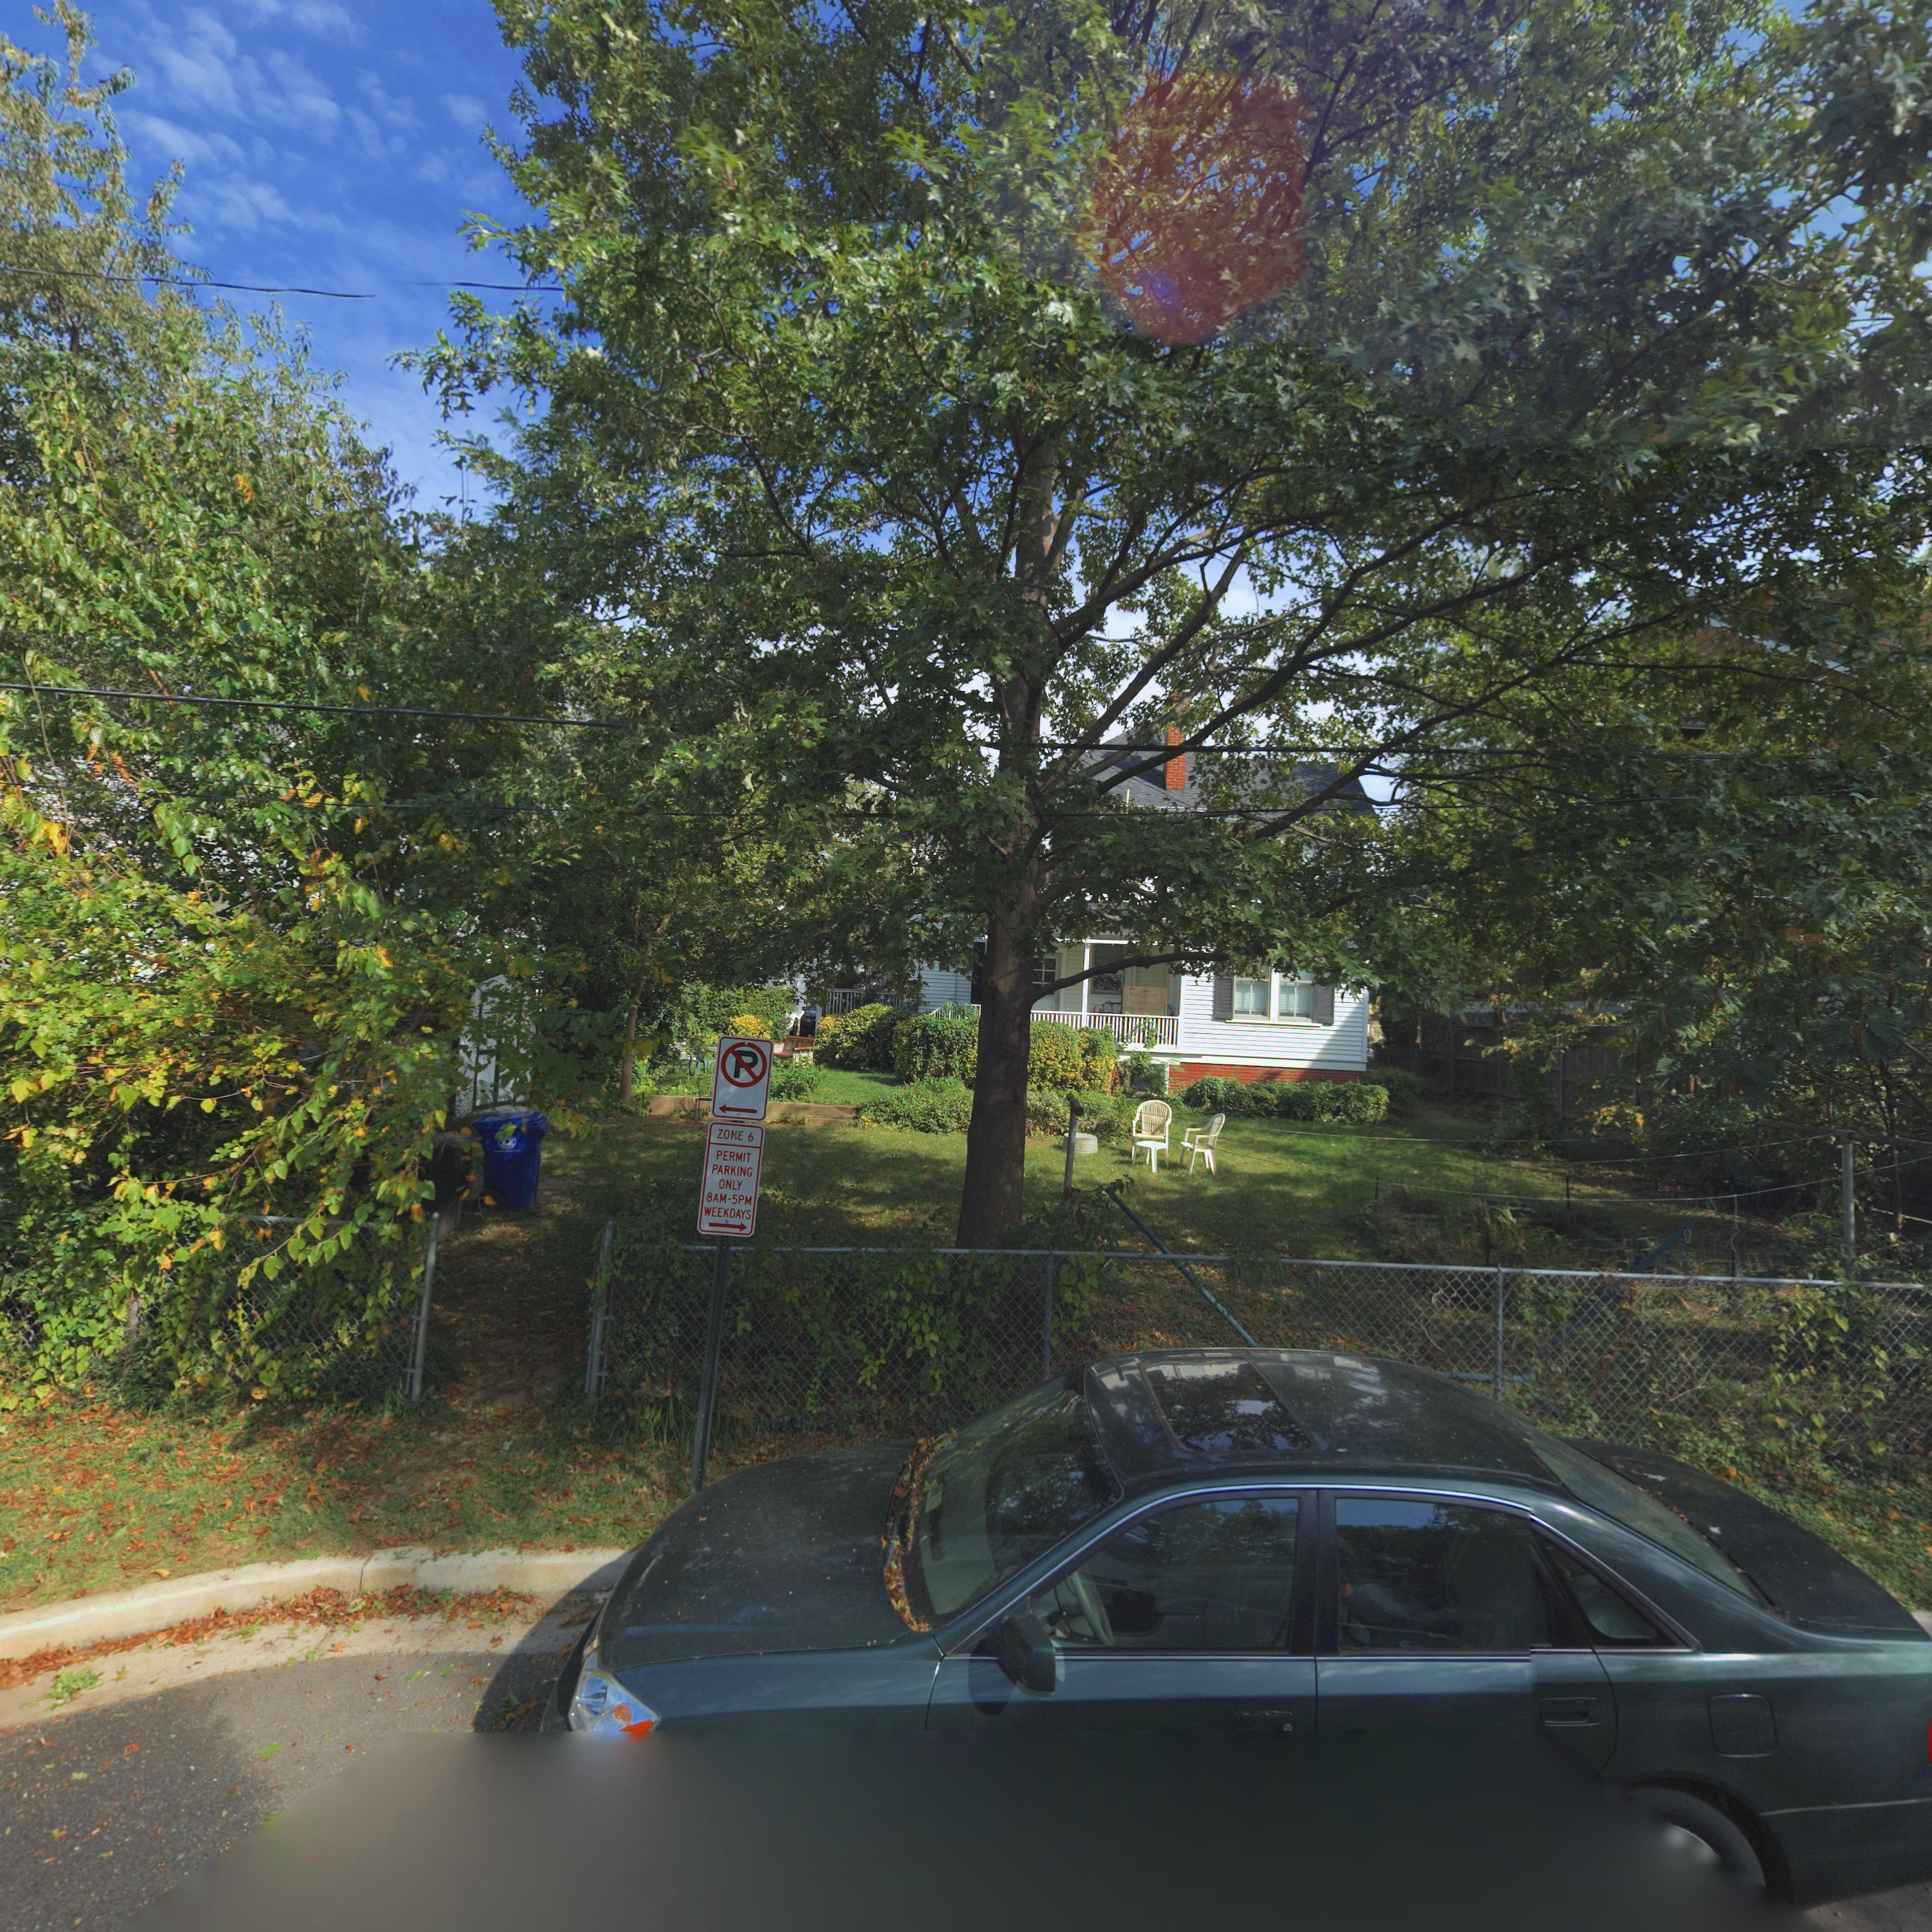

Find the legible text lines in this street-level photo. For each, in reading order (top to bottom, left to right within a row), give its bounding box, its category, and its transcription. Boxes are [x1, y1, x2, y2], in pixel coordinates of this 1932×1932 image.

[715, 1126, 755, 1143] None: ZO*E 6
[715, 1149, 753, 1164] None: PERMIT
[711, 1163, 753, 1179] None: PARKING
[718, 1178, 744, 1191] None: ONLY
[705, 1191, 753, 1207] None: 8AM-5PM
[703, 1205, 753, 1221] None: WEEKDAYS